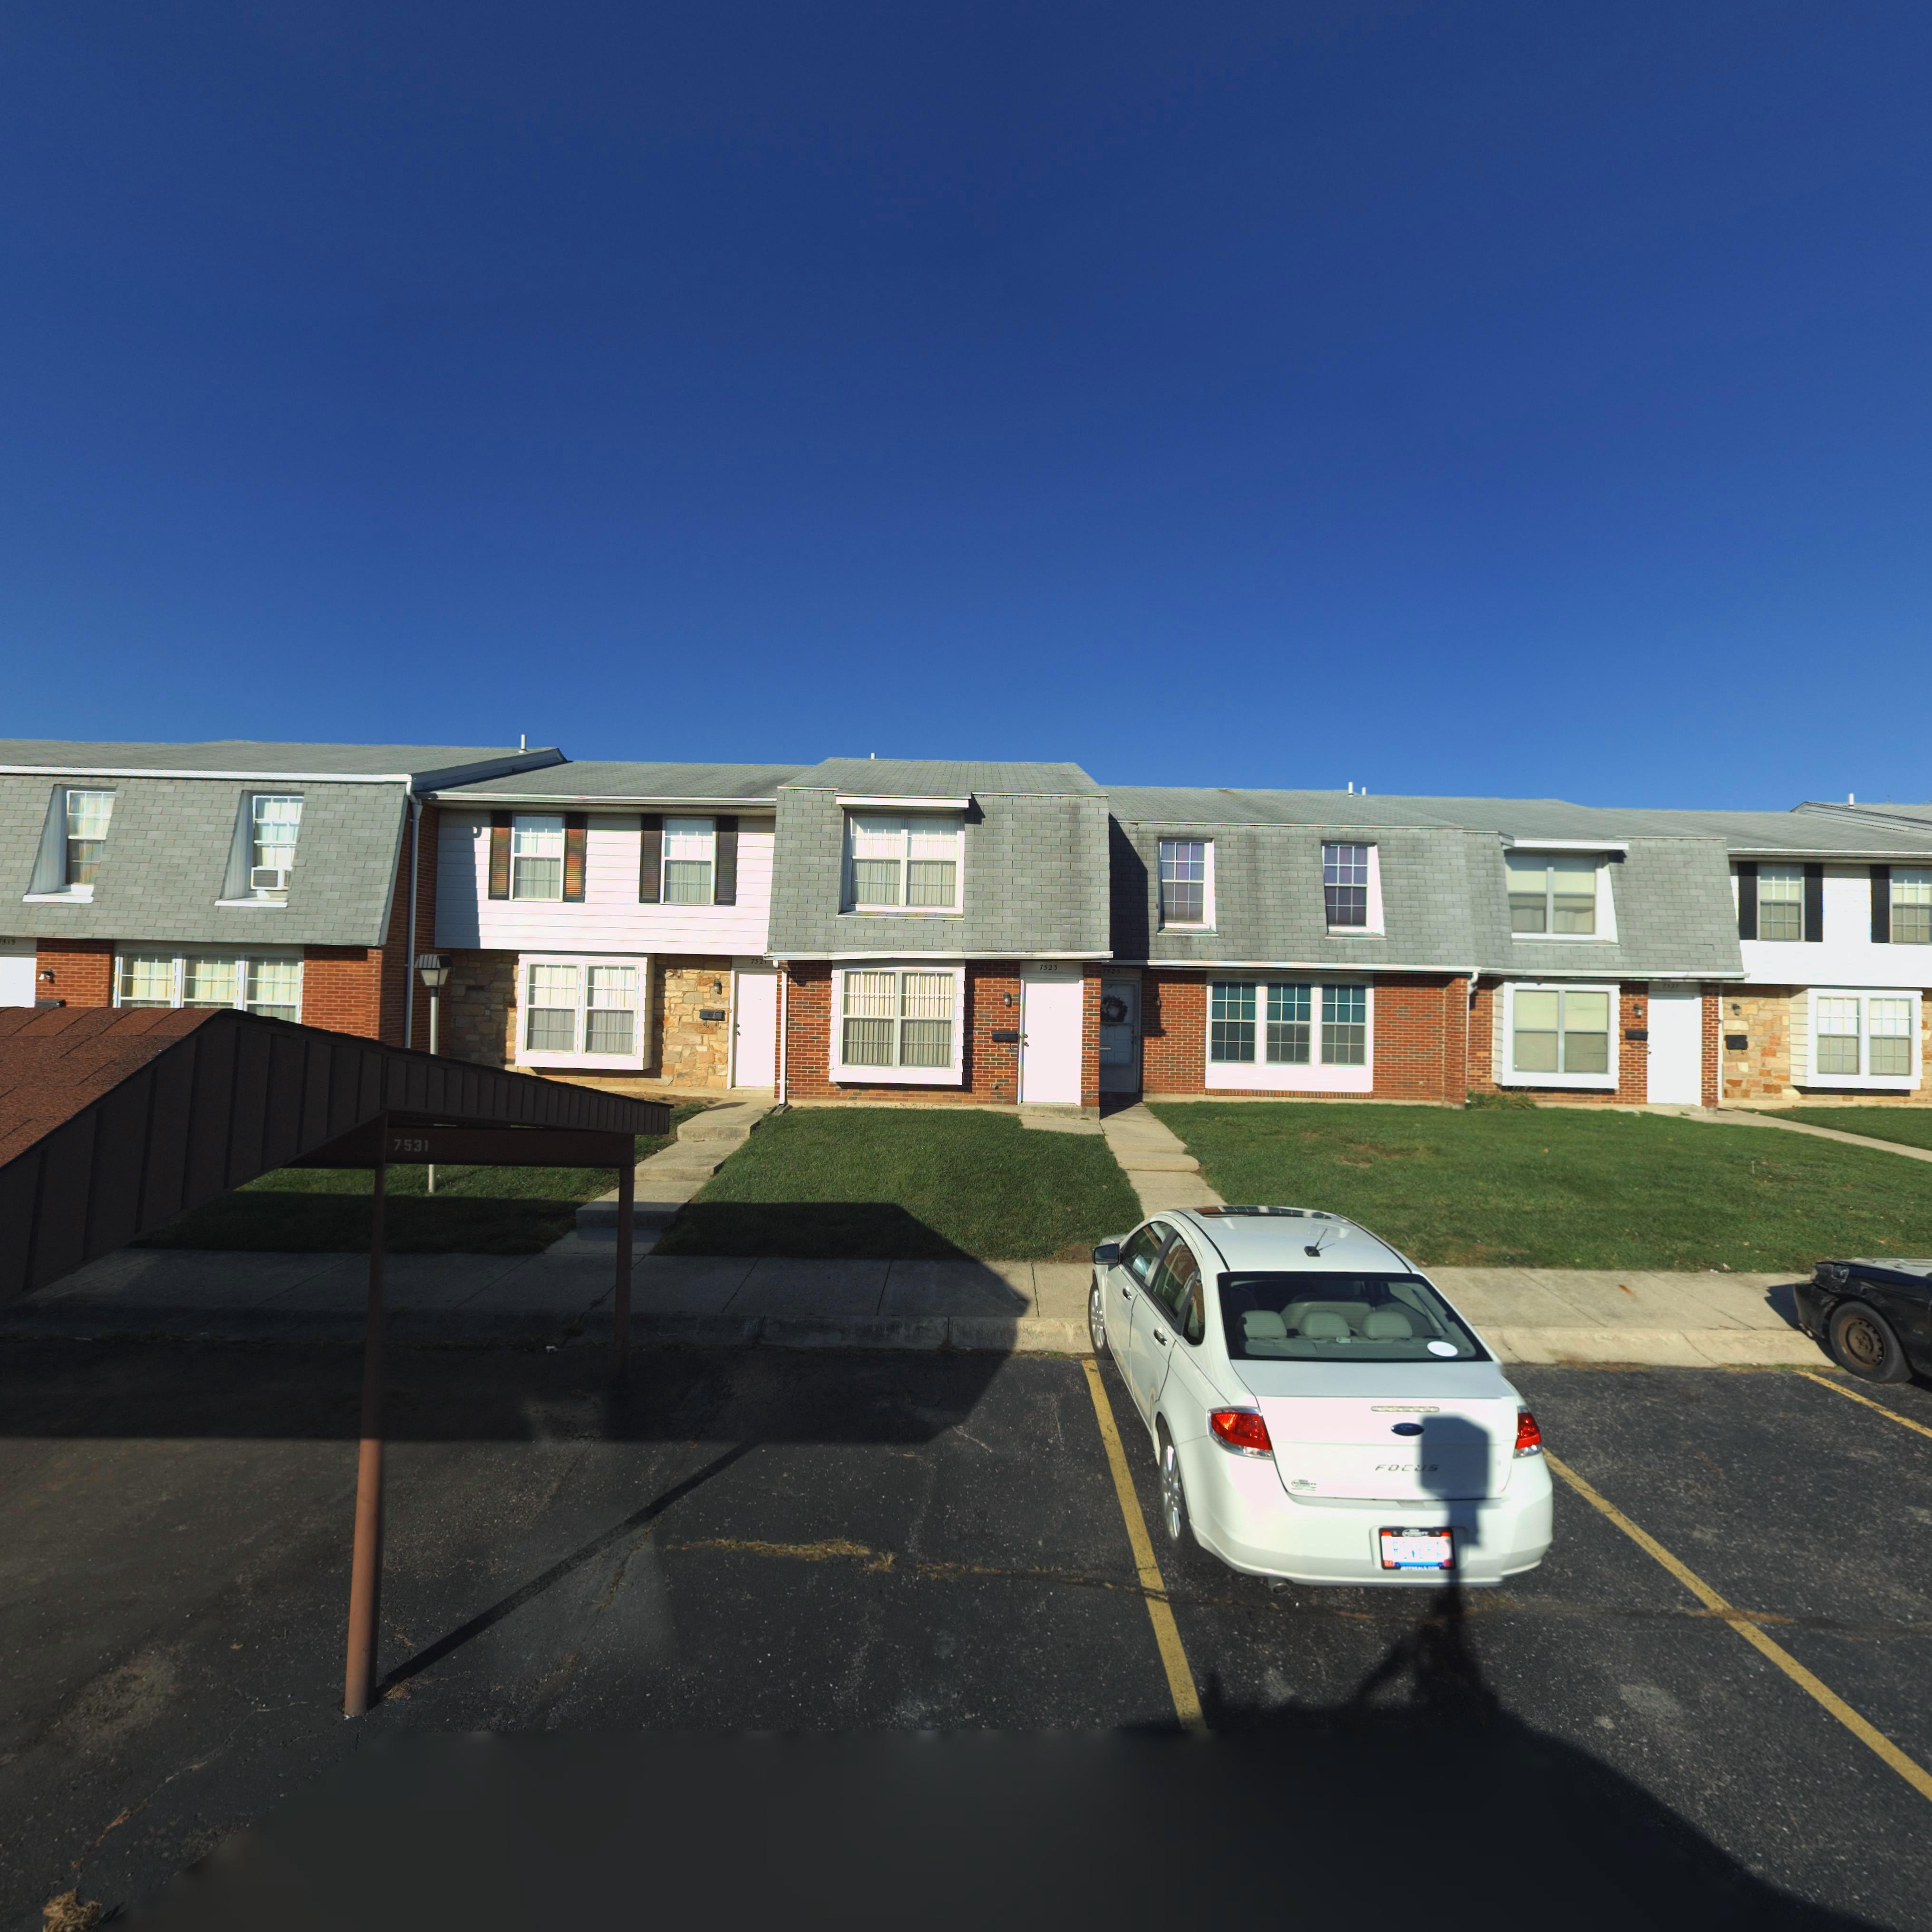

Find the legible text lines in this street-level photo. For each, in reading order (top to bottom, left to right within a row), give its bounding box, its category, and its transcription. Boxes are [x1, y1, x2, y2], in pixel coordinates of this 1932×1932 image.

[1, 938, 17, 946] StreetNumber: 519
[751, 958, 763, 964] StreetNumber: 752
[1039, 964, 1058, 971] StreetNumber: 7523
[1102, 968, 1121, 975] StreetNumber: 7525
[1662, 983, 1679, 989] StreetNumber: 7527
[393, 1138, 429, 1153] StreetNumber: 7531